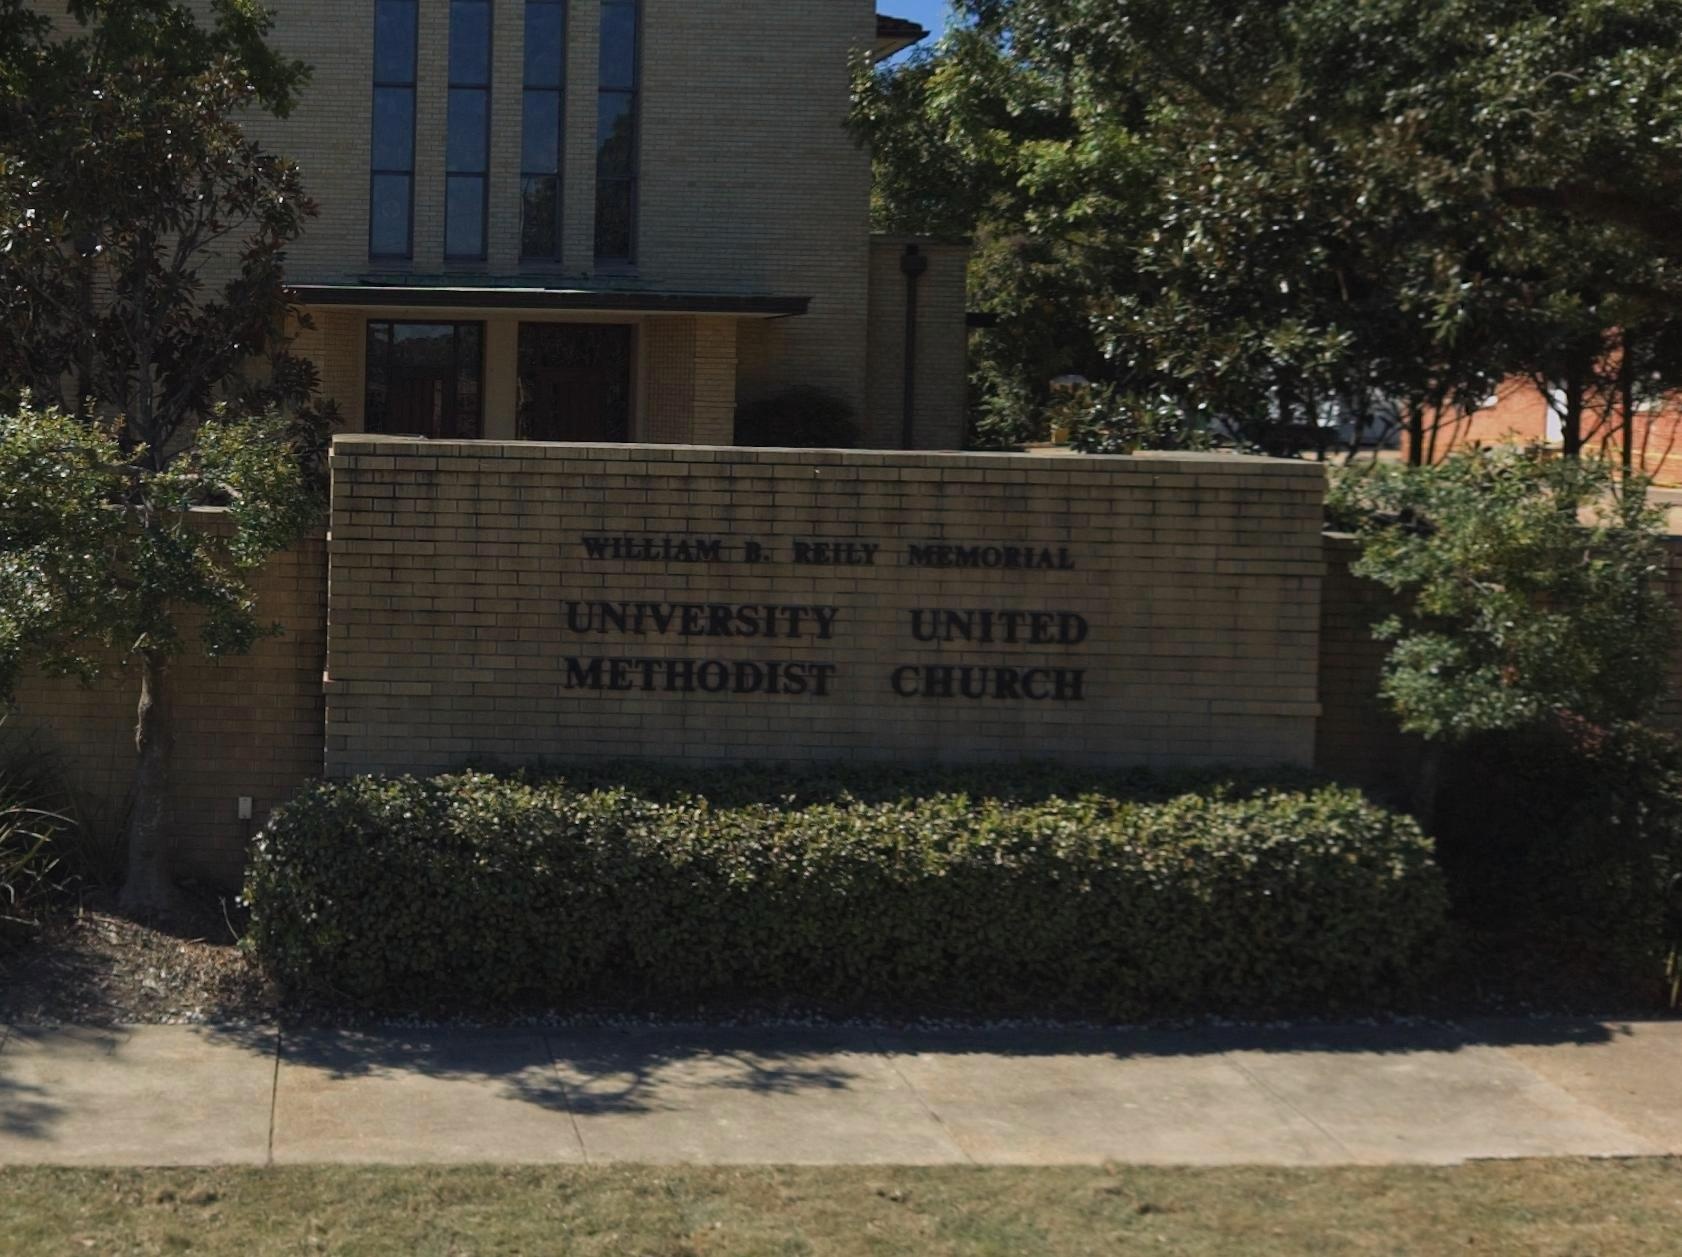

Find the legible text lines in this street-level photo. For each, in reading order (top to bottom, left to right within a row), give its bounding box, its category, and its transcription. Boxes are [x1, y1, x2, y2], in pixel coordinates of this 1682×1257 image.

[580, 535, 1077, 572] BusinessName: WILLIAM B. REILY MEMORIAL
[563, 600, 1090, 646] BusinessName: UNIVERSITY UNITED
[561, 657, 1087, 703] BusinessName: METHODIST CHURCH